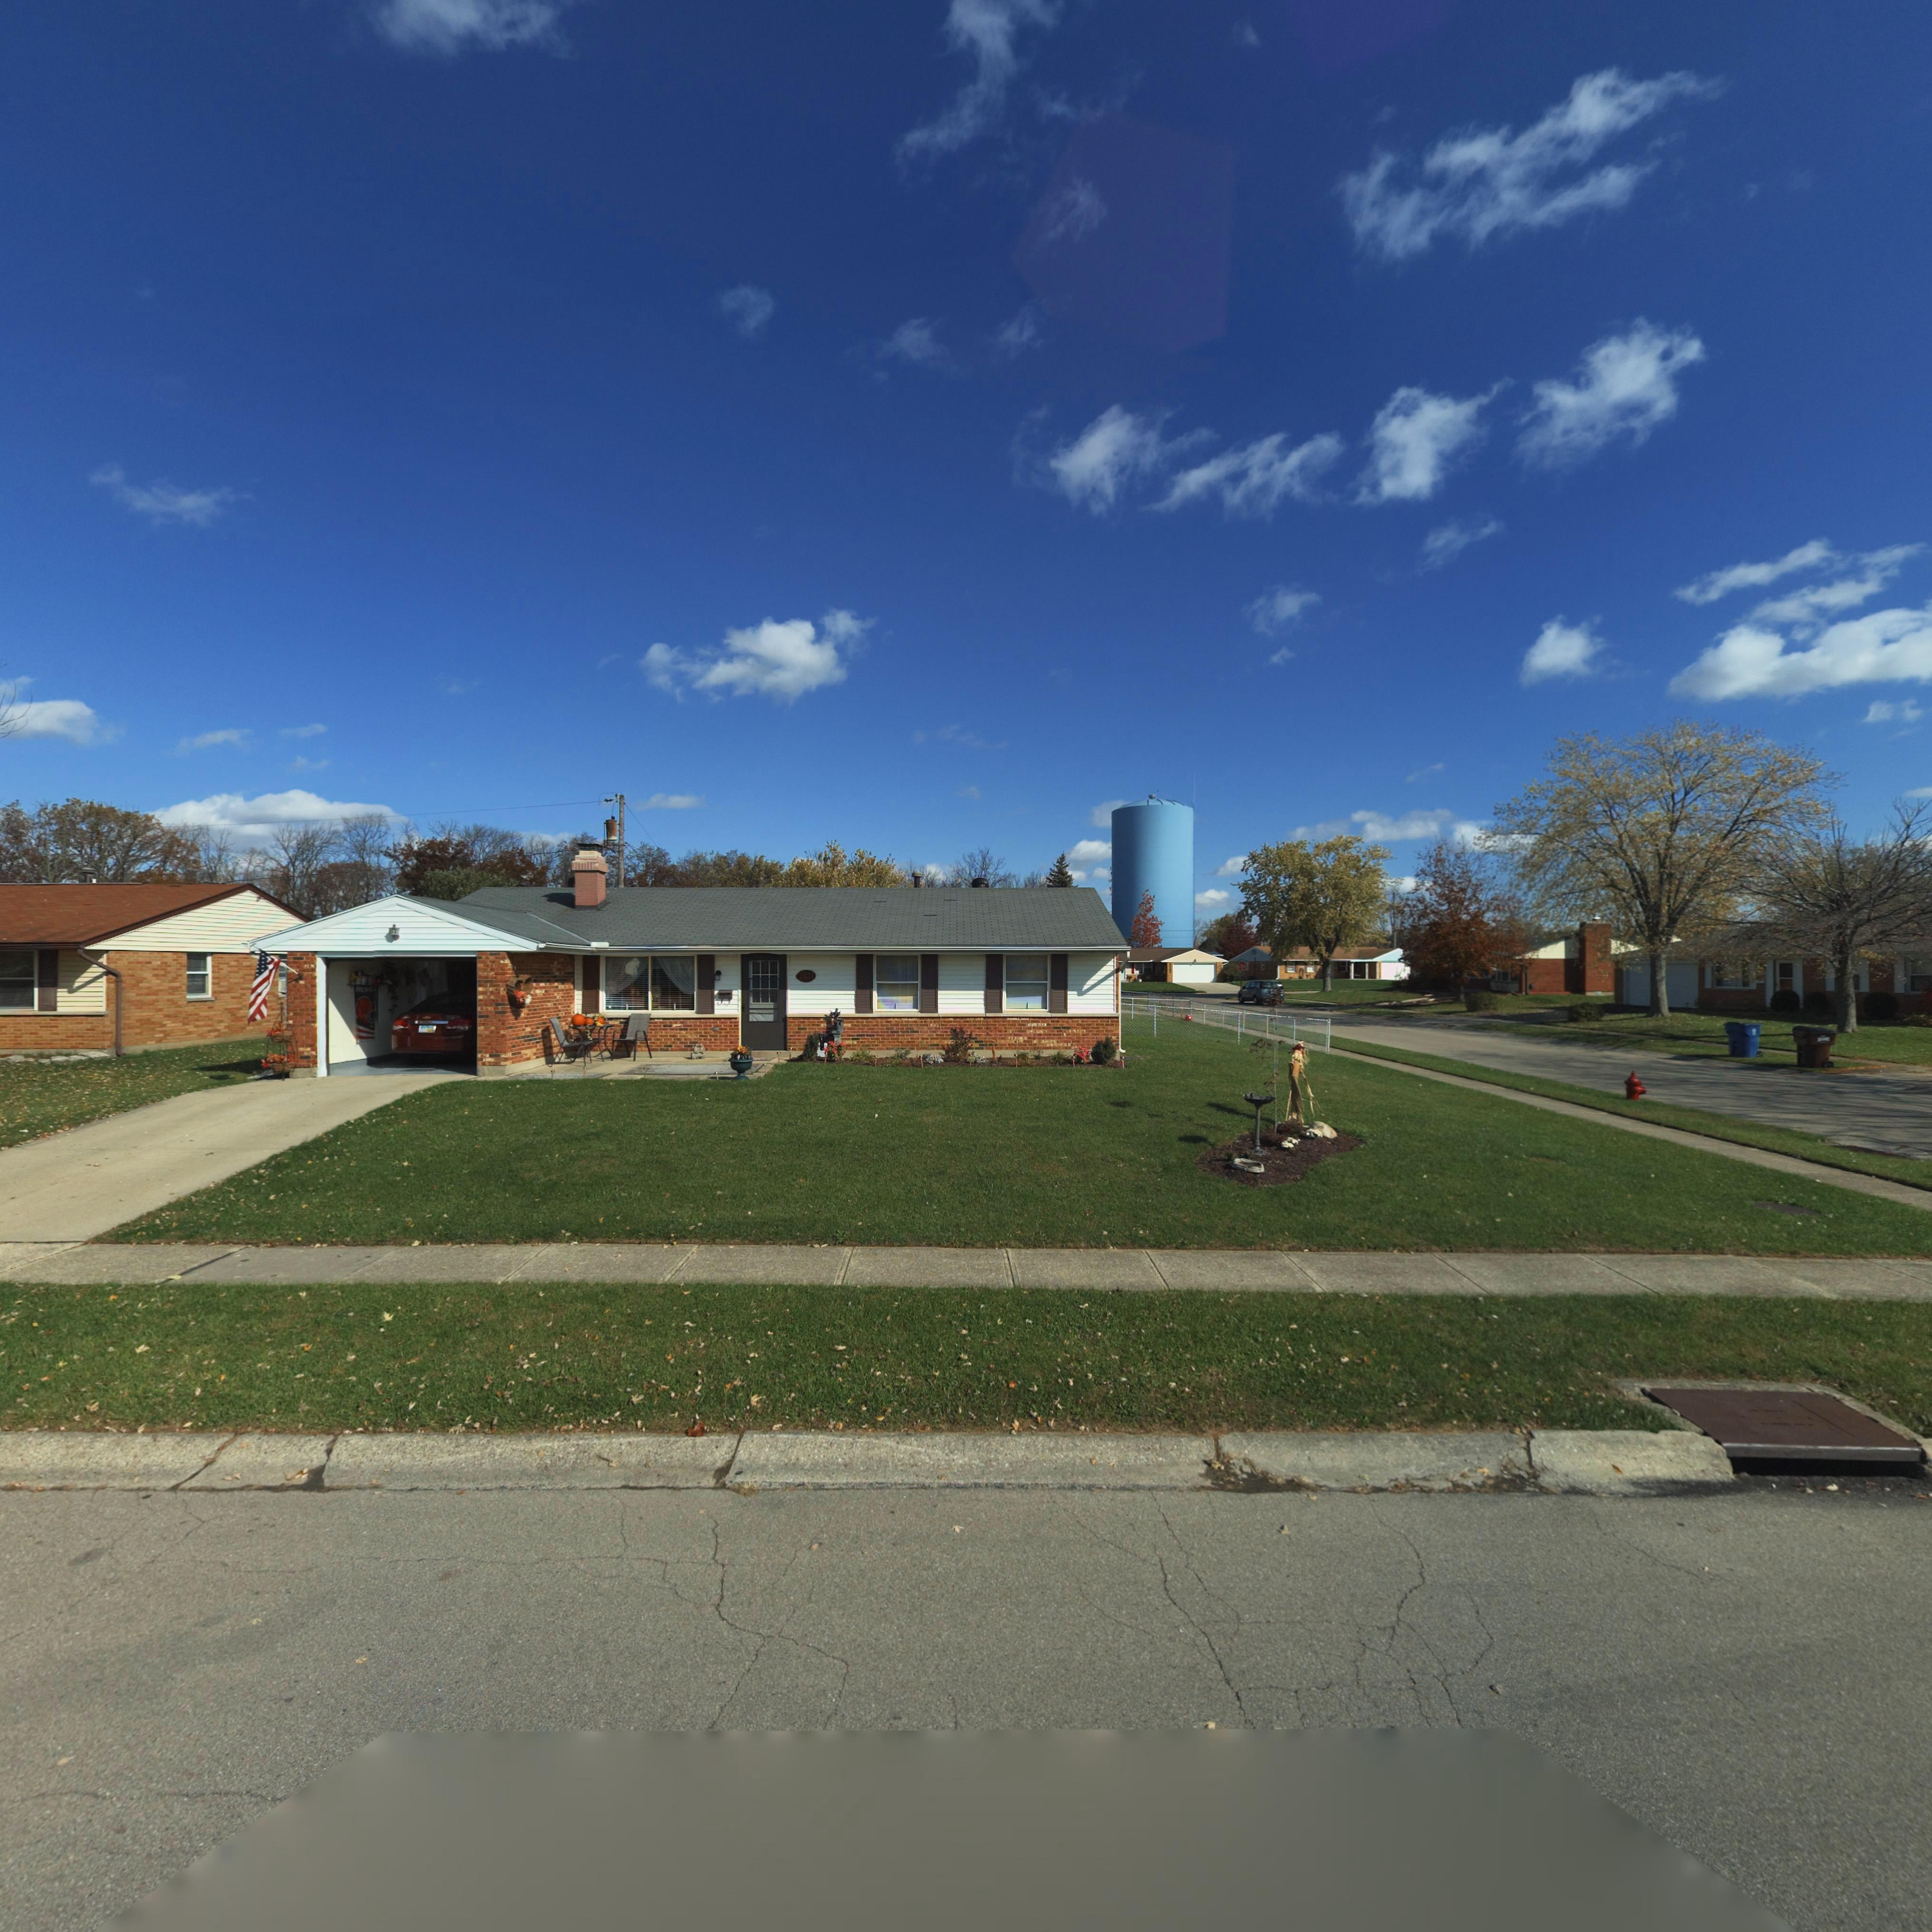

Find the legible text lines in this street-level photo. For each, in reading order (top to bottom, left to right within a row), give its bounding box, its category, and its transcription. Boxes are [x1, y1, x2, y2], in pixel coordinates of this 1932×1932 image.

[798, 972, 814, 980] StreetNumber: 7821